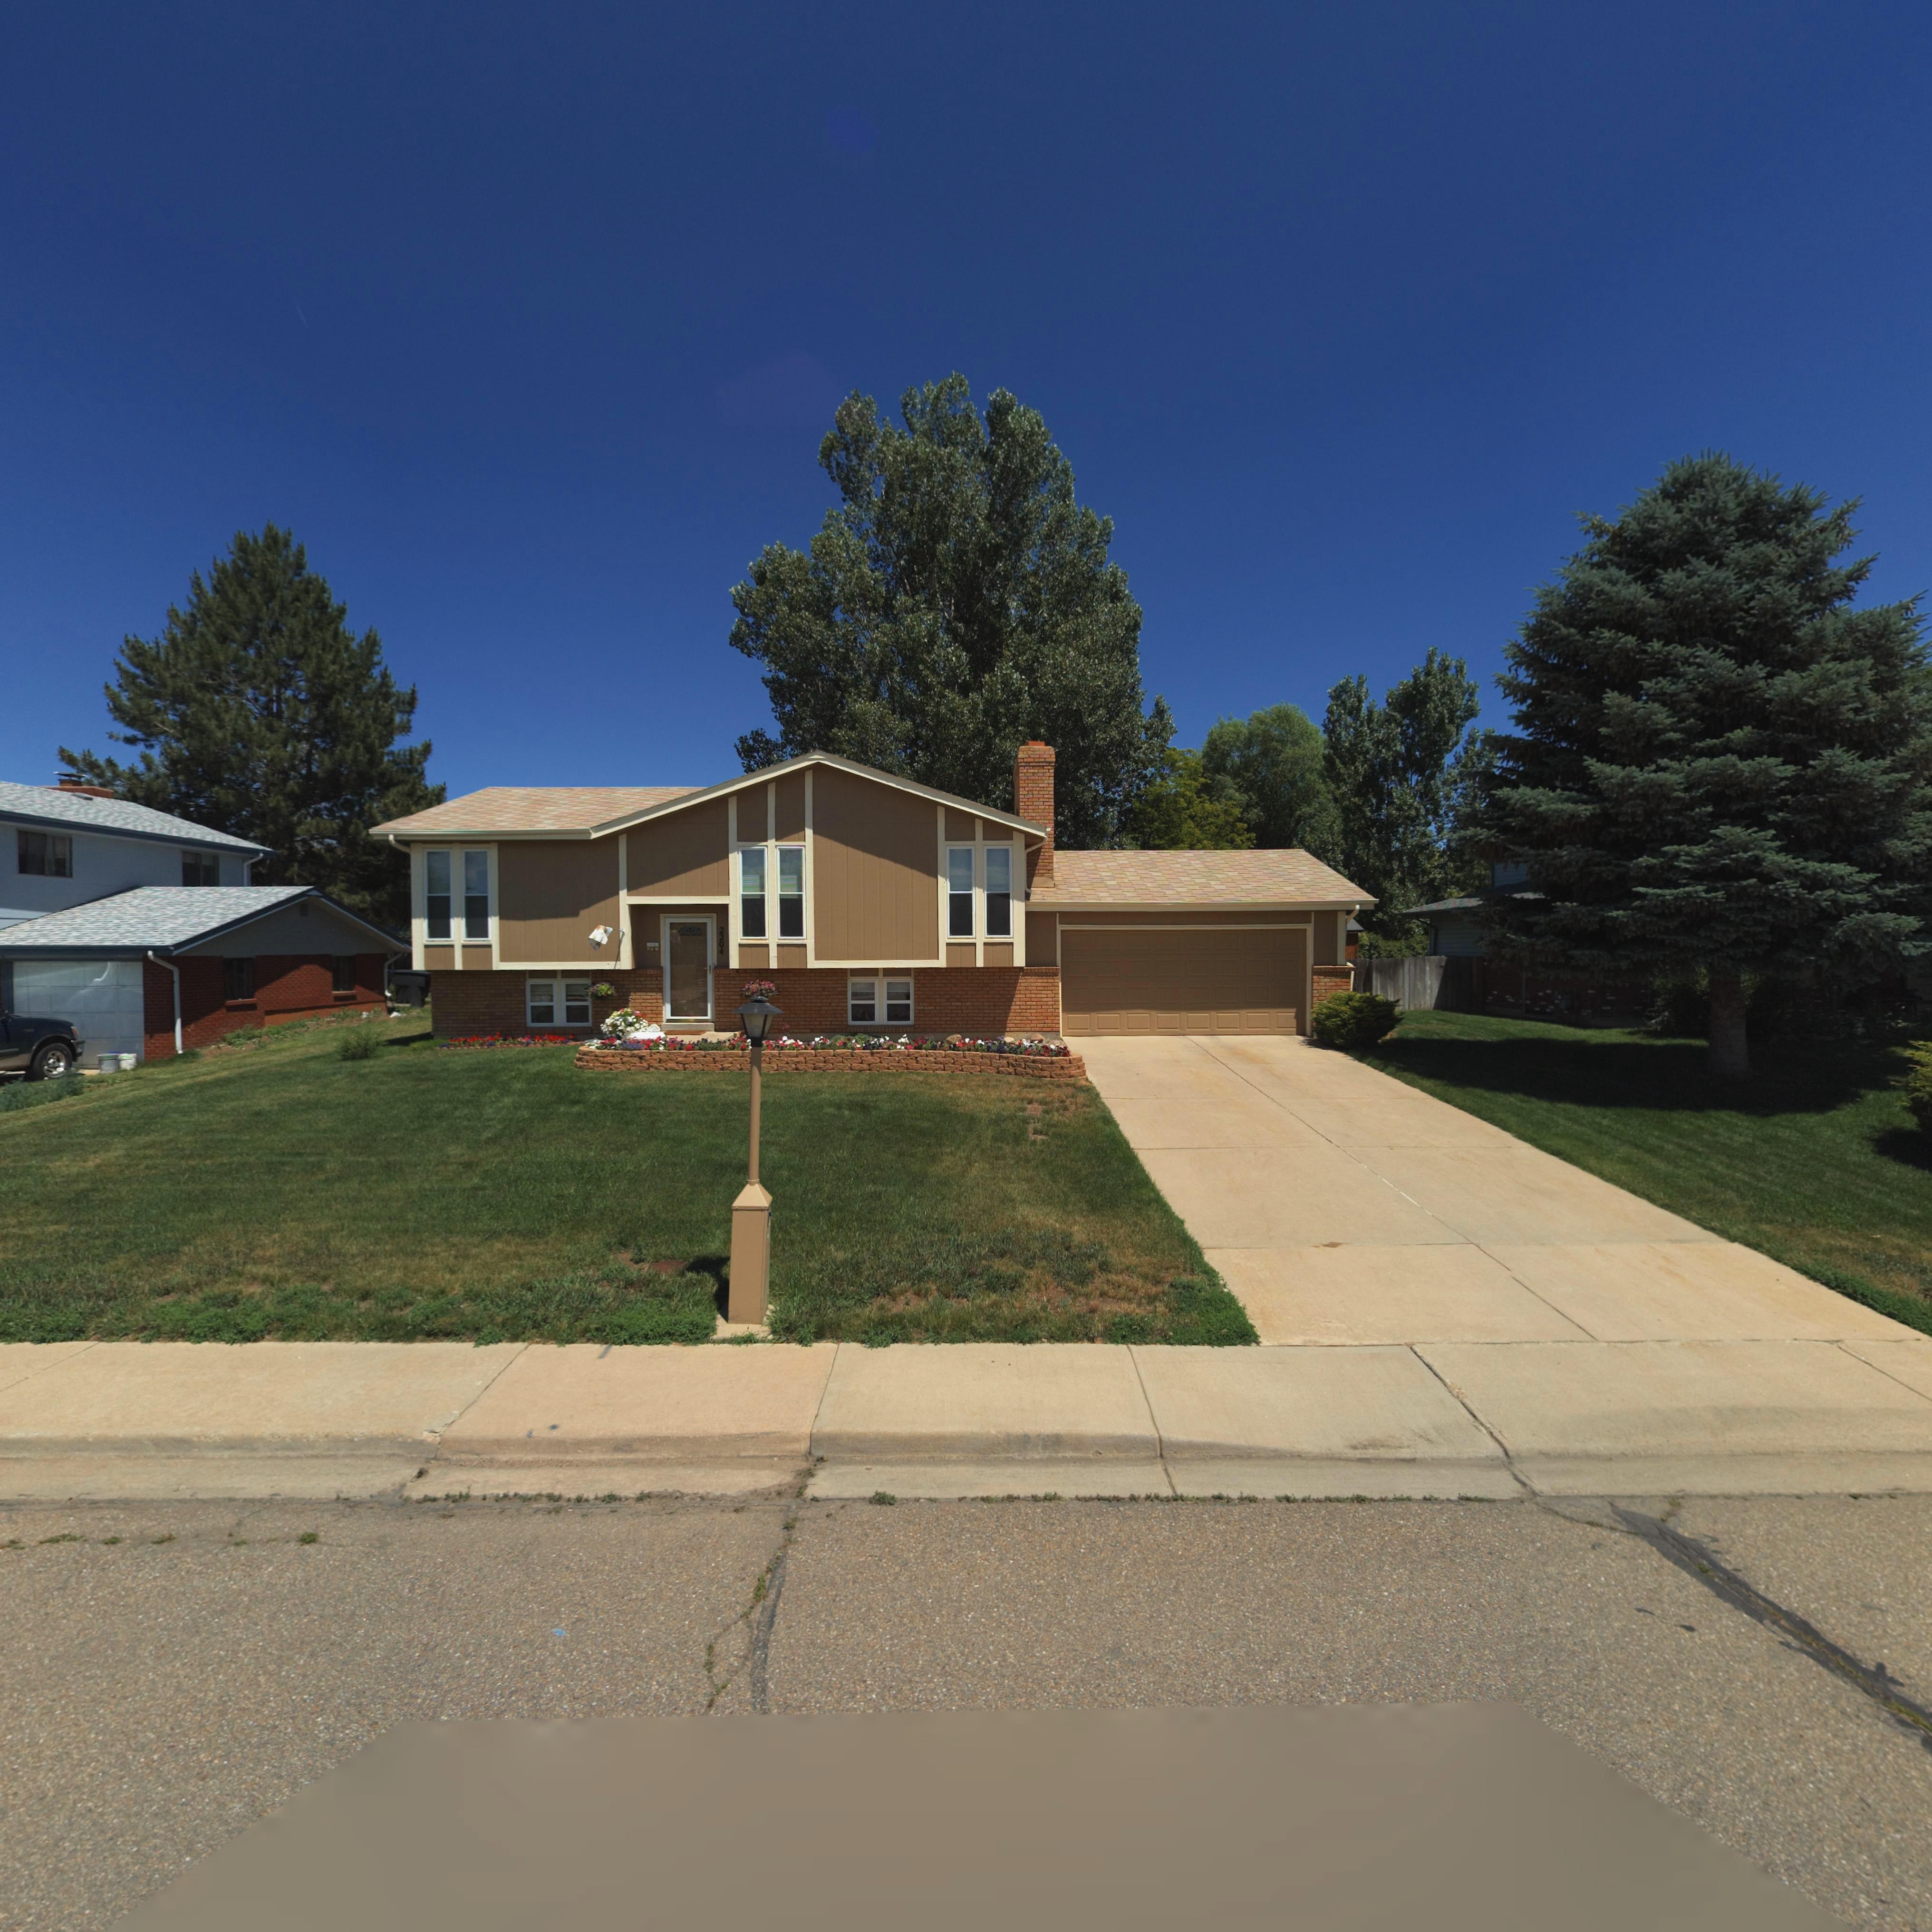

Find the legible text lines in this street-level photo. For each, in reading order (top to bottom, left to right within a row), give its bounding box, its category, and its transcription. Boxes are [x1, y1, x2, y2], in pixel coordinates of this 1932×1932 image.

[718, 926, 724, 956] StreetNumber: 2204